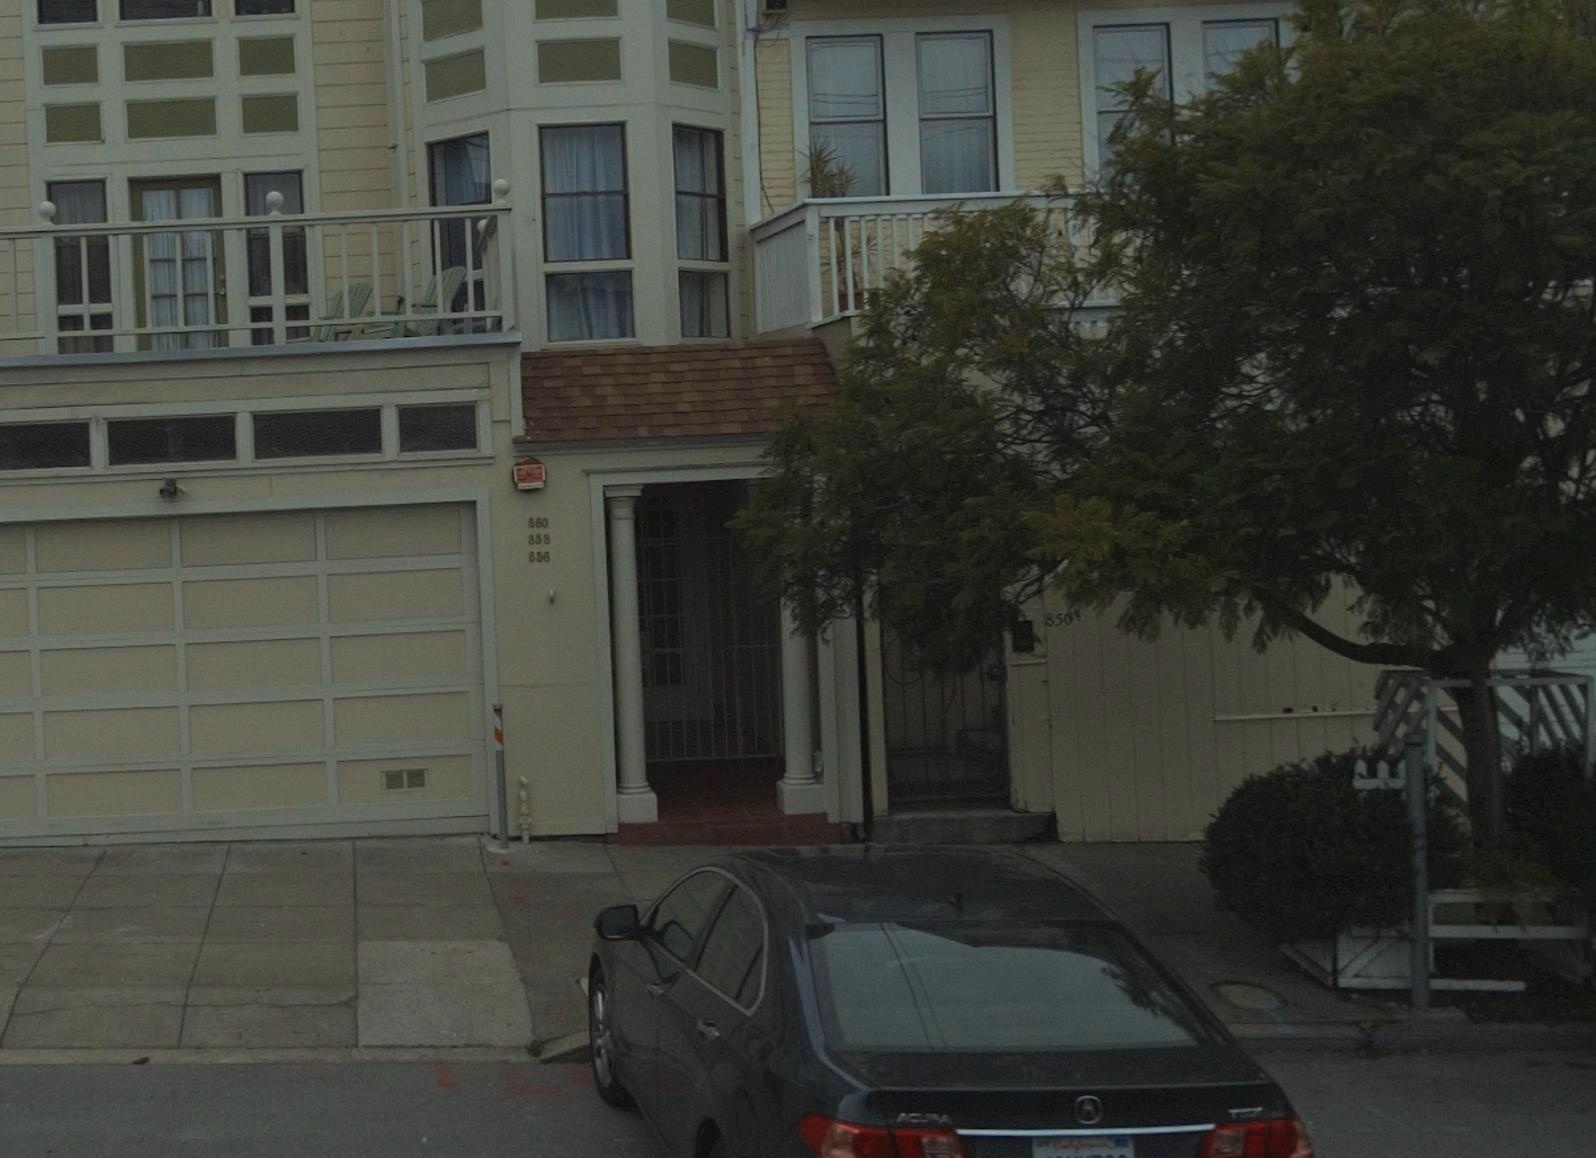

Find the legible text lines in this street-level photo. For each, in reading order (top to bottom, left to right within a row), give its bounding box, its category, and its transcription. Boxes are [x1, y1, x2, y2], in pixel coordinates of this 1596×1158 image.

[526, 517, 549, 528] StreetNumber: 860
[528, 532, 549, 544] StreetNumber: 858
[527, 548, 551, 561] StreetNumber: 856
[1045, 612, 1073, 628] StreetNumber: 850